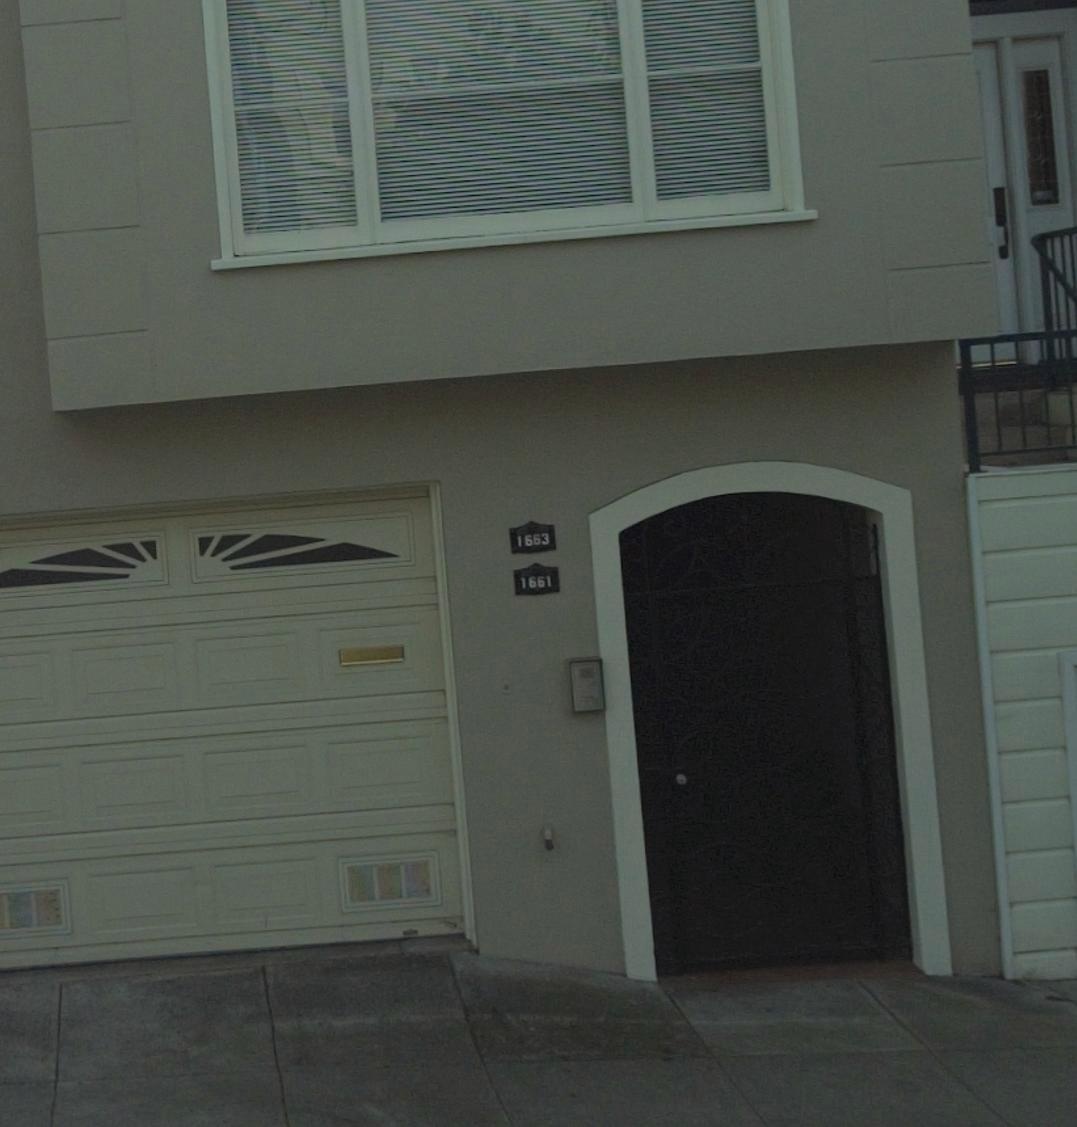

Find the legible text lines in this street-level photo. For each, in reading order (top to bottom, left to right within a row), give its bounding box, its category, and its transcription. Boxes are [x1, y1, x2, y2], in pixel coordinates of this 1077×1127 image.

[514, 529, 553, 551] StreetNumber: 1663
[517, 572, 554, 592] StreetNumber: 1661